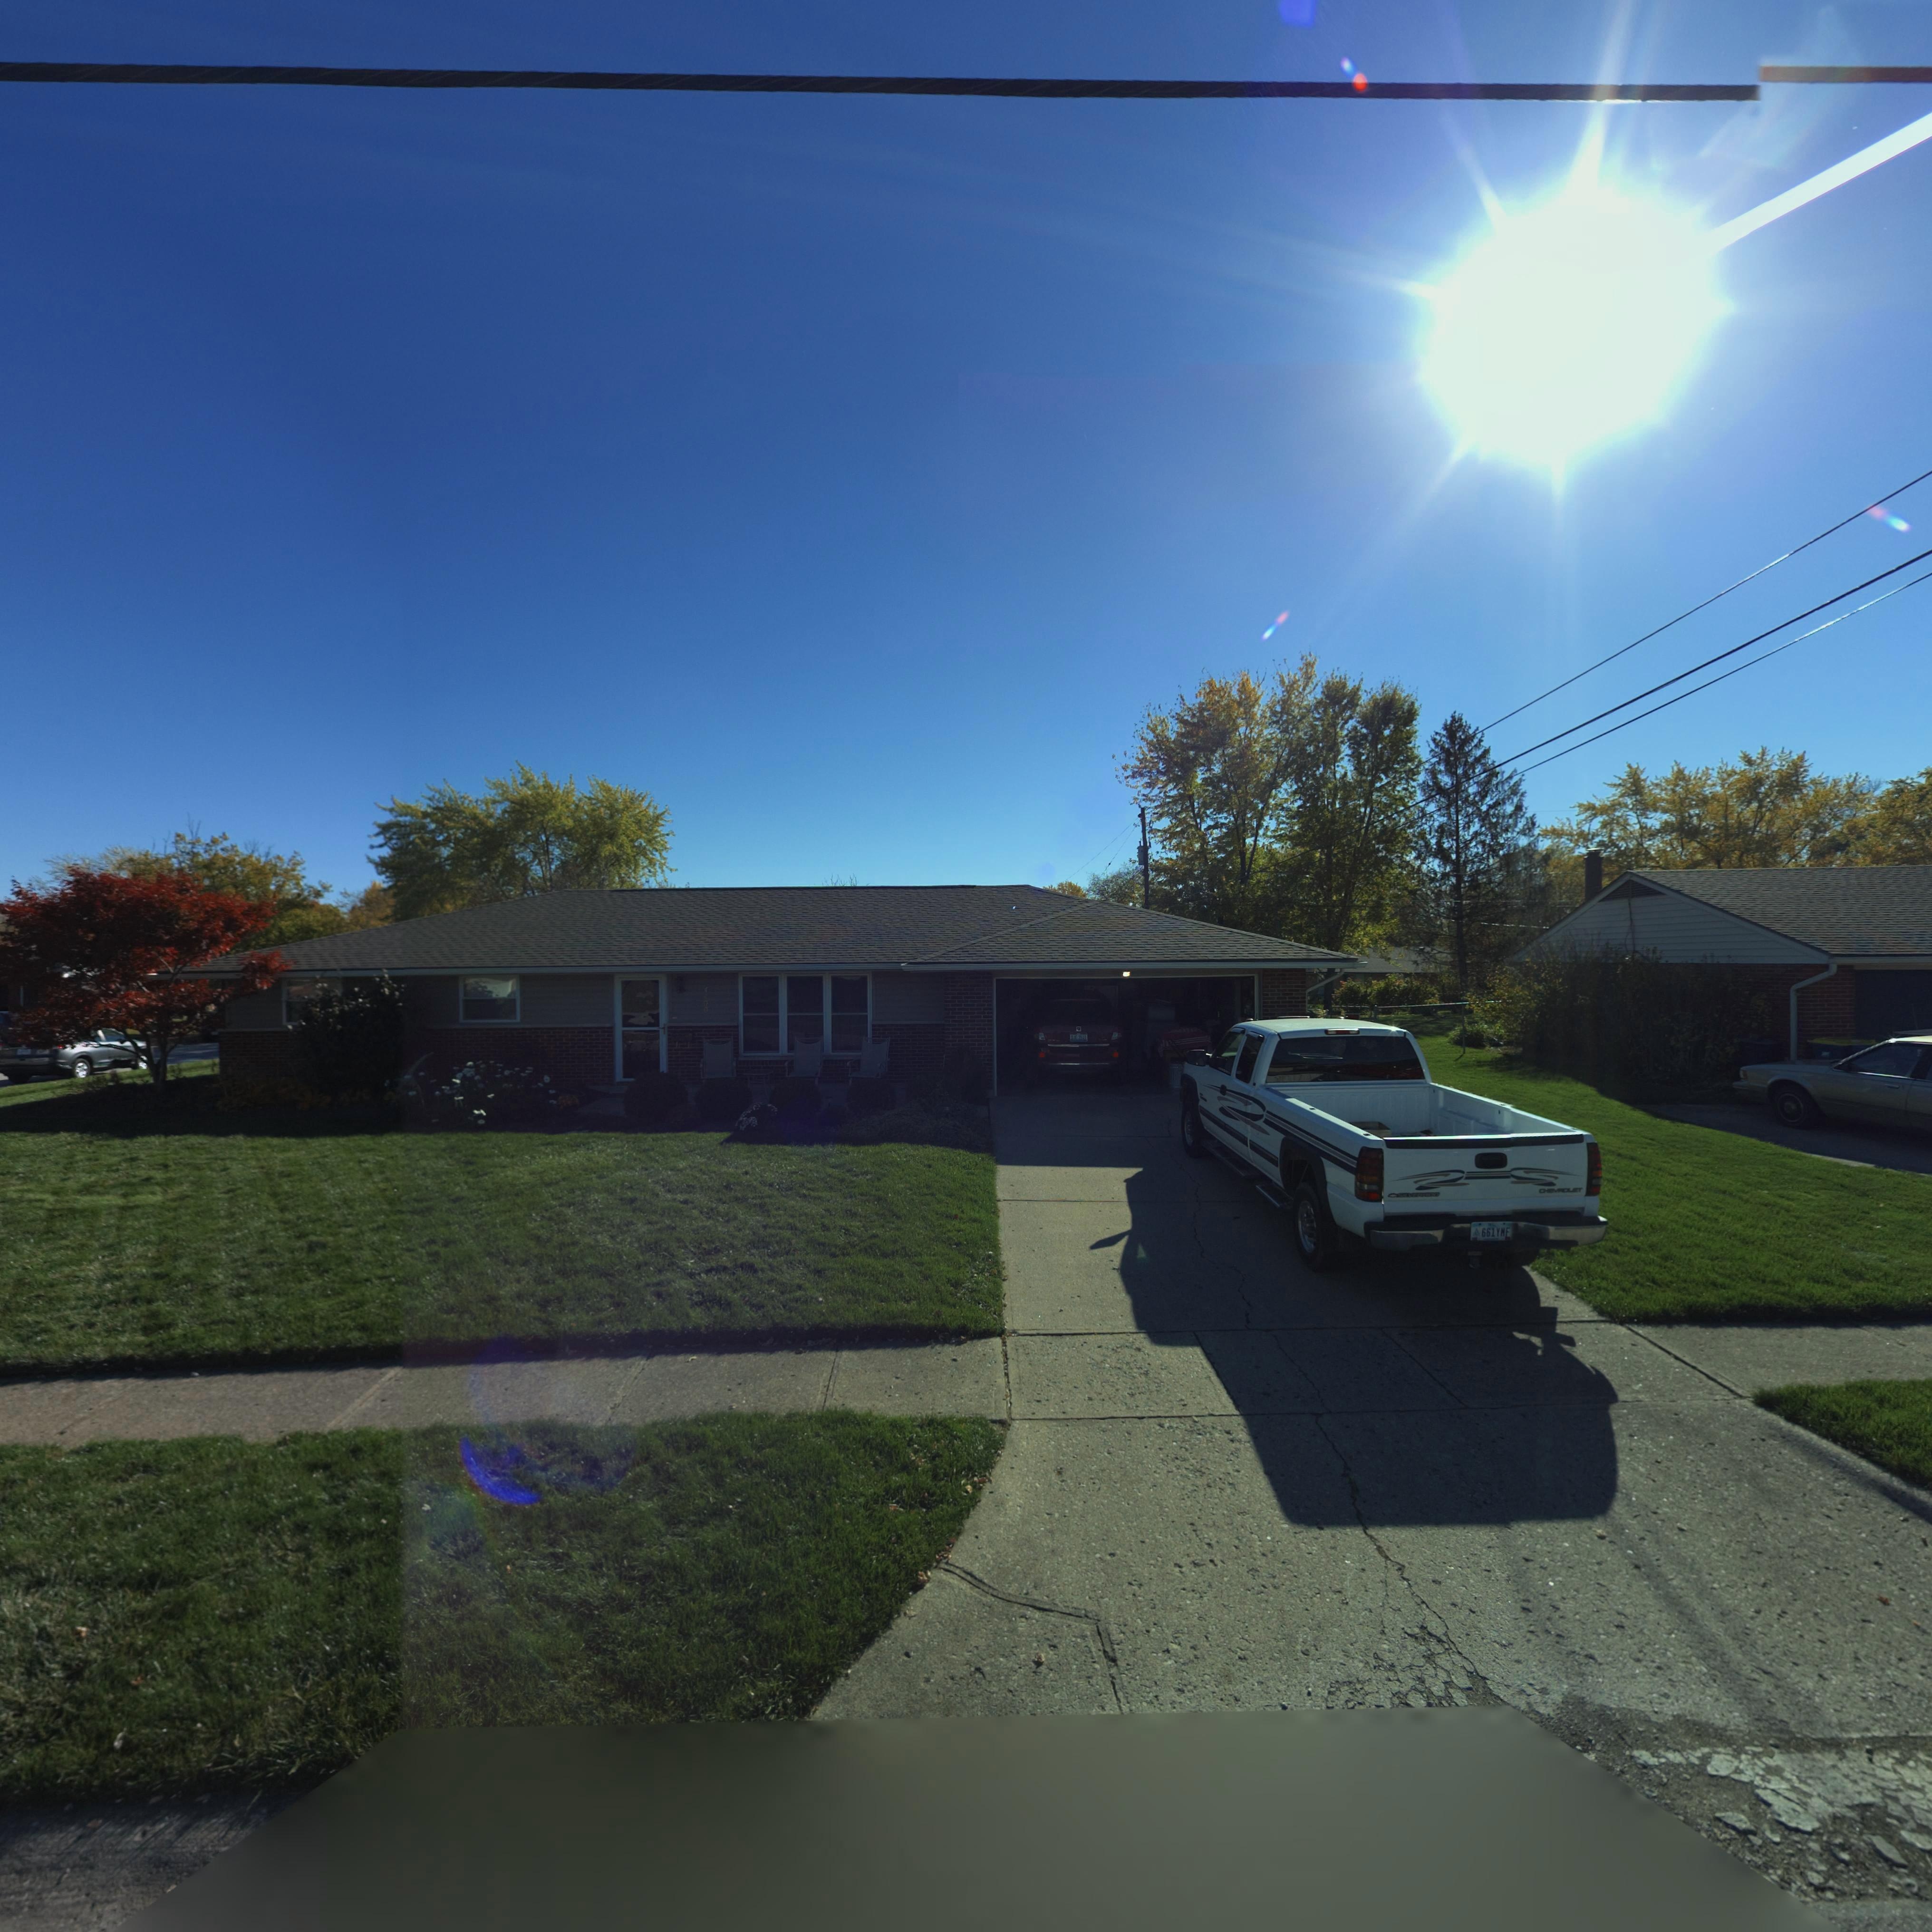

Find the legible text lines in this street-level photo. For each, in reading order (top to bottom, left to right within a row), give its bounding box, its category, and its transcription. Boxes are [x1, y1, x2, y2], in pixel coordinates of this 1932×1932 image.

[703, 986, 708, 1014] StreetNumber: 4400